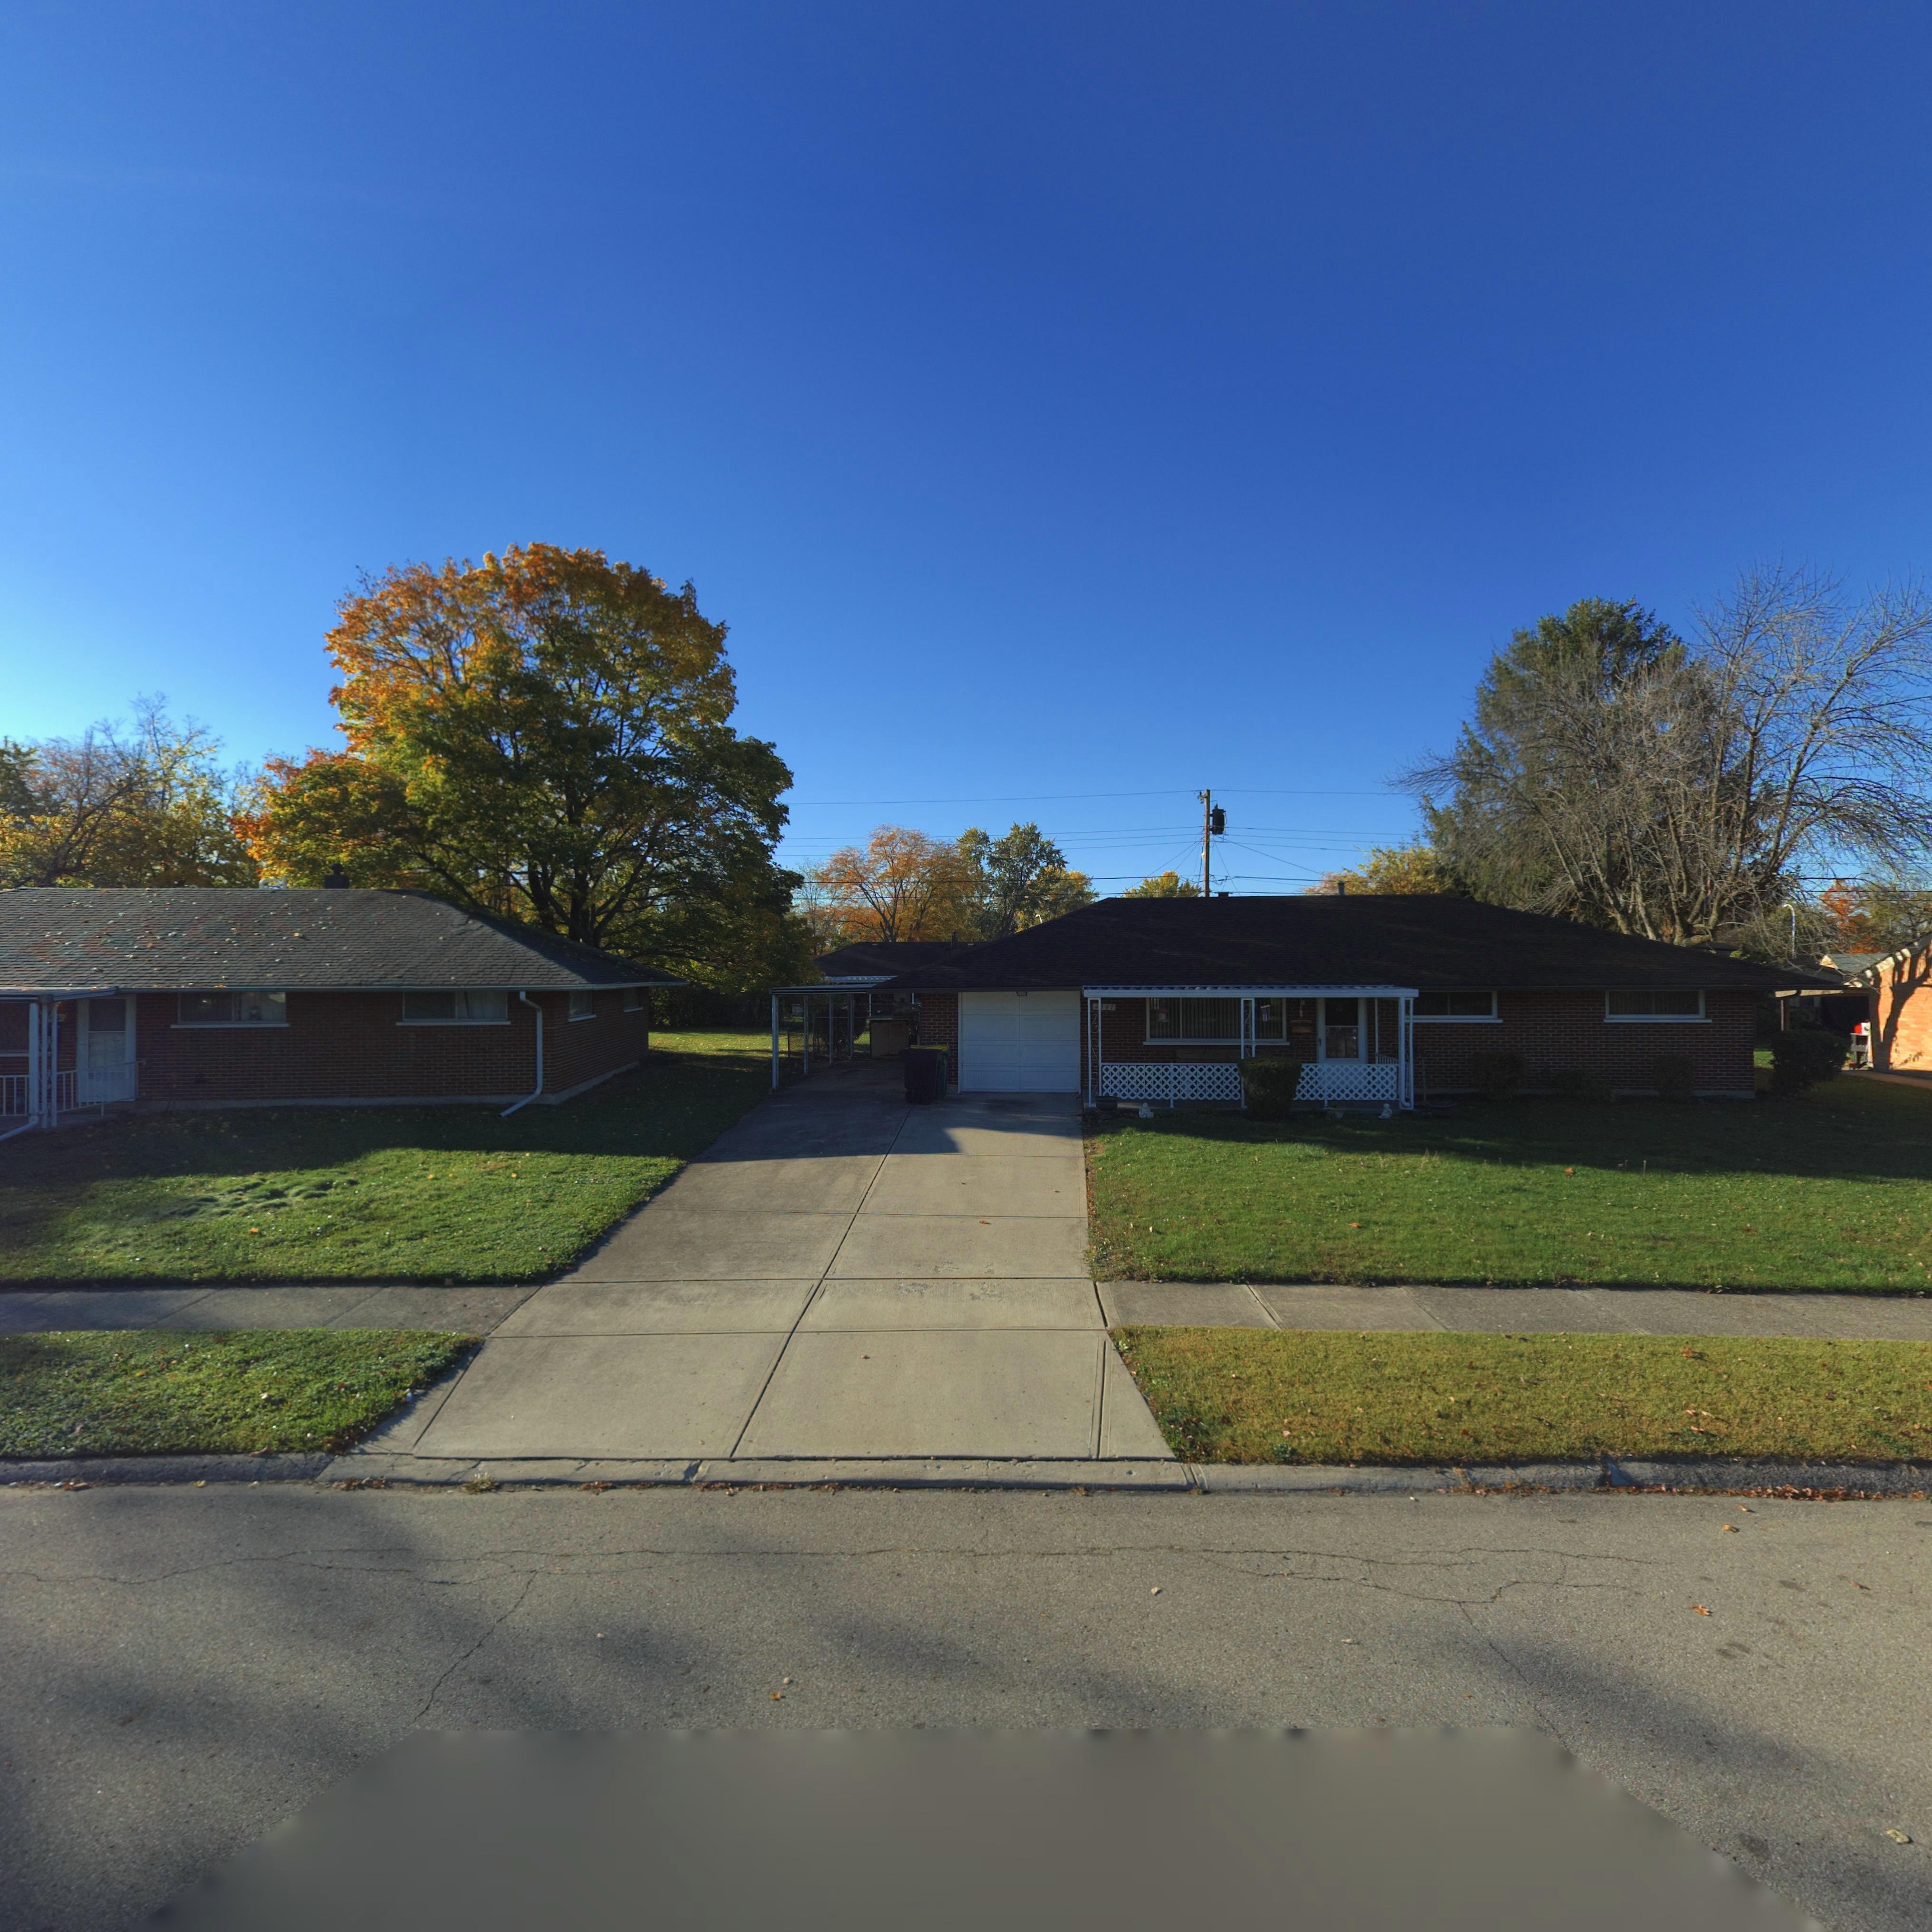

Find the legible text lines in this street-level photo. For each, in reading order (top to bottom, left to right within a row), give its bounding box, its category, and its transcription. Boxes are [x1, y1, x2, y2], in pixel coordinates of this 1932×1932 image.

[1094, 1004, 1113, 1010] StreetNumber: 4841